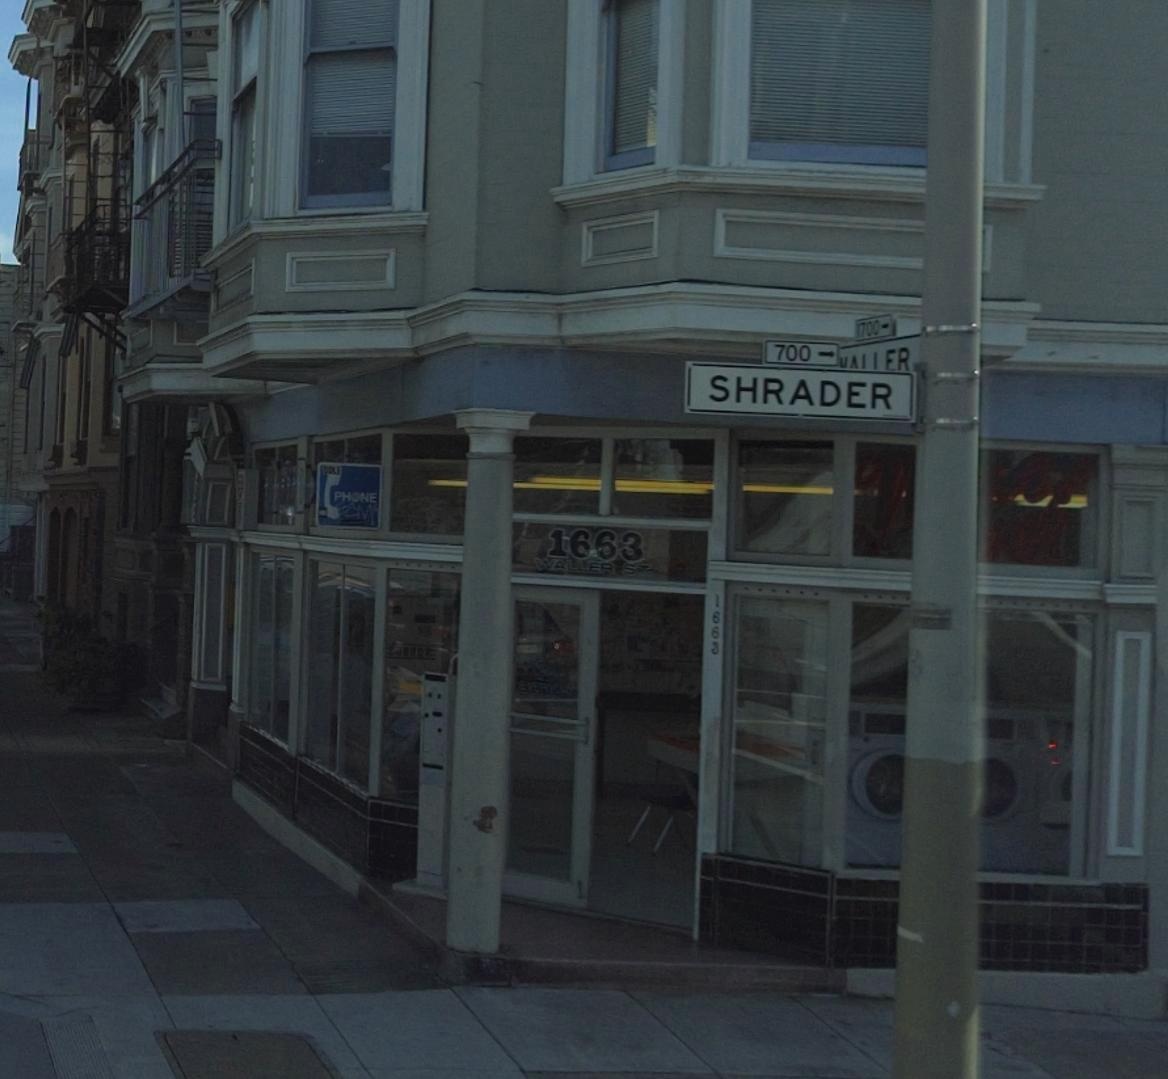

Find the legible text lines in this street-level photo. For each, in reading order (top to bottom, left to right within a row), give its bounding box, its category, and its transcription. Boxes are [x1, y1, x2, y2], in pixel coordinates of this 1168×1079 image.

[853, 316, 894, 341] StreetNumberRange: 1700->
[770, 341, 839, 365] StreetNumberRange: 700->
[895, 344, 912, 373] StreetName: R
[705, 373, 898, 413] StreetName: SHRADER
[332, 490, 379, 505] None: PH*NE
[545, 526, 646, 564] StreetNumber: 1663
[529, 555, 656, 579] StreetName: WALLER ST.
[709, 592, 723, 659] StreetNumber: 166*